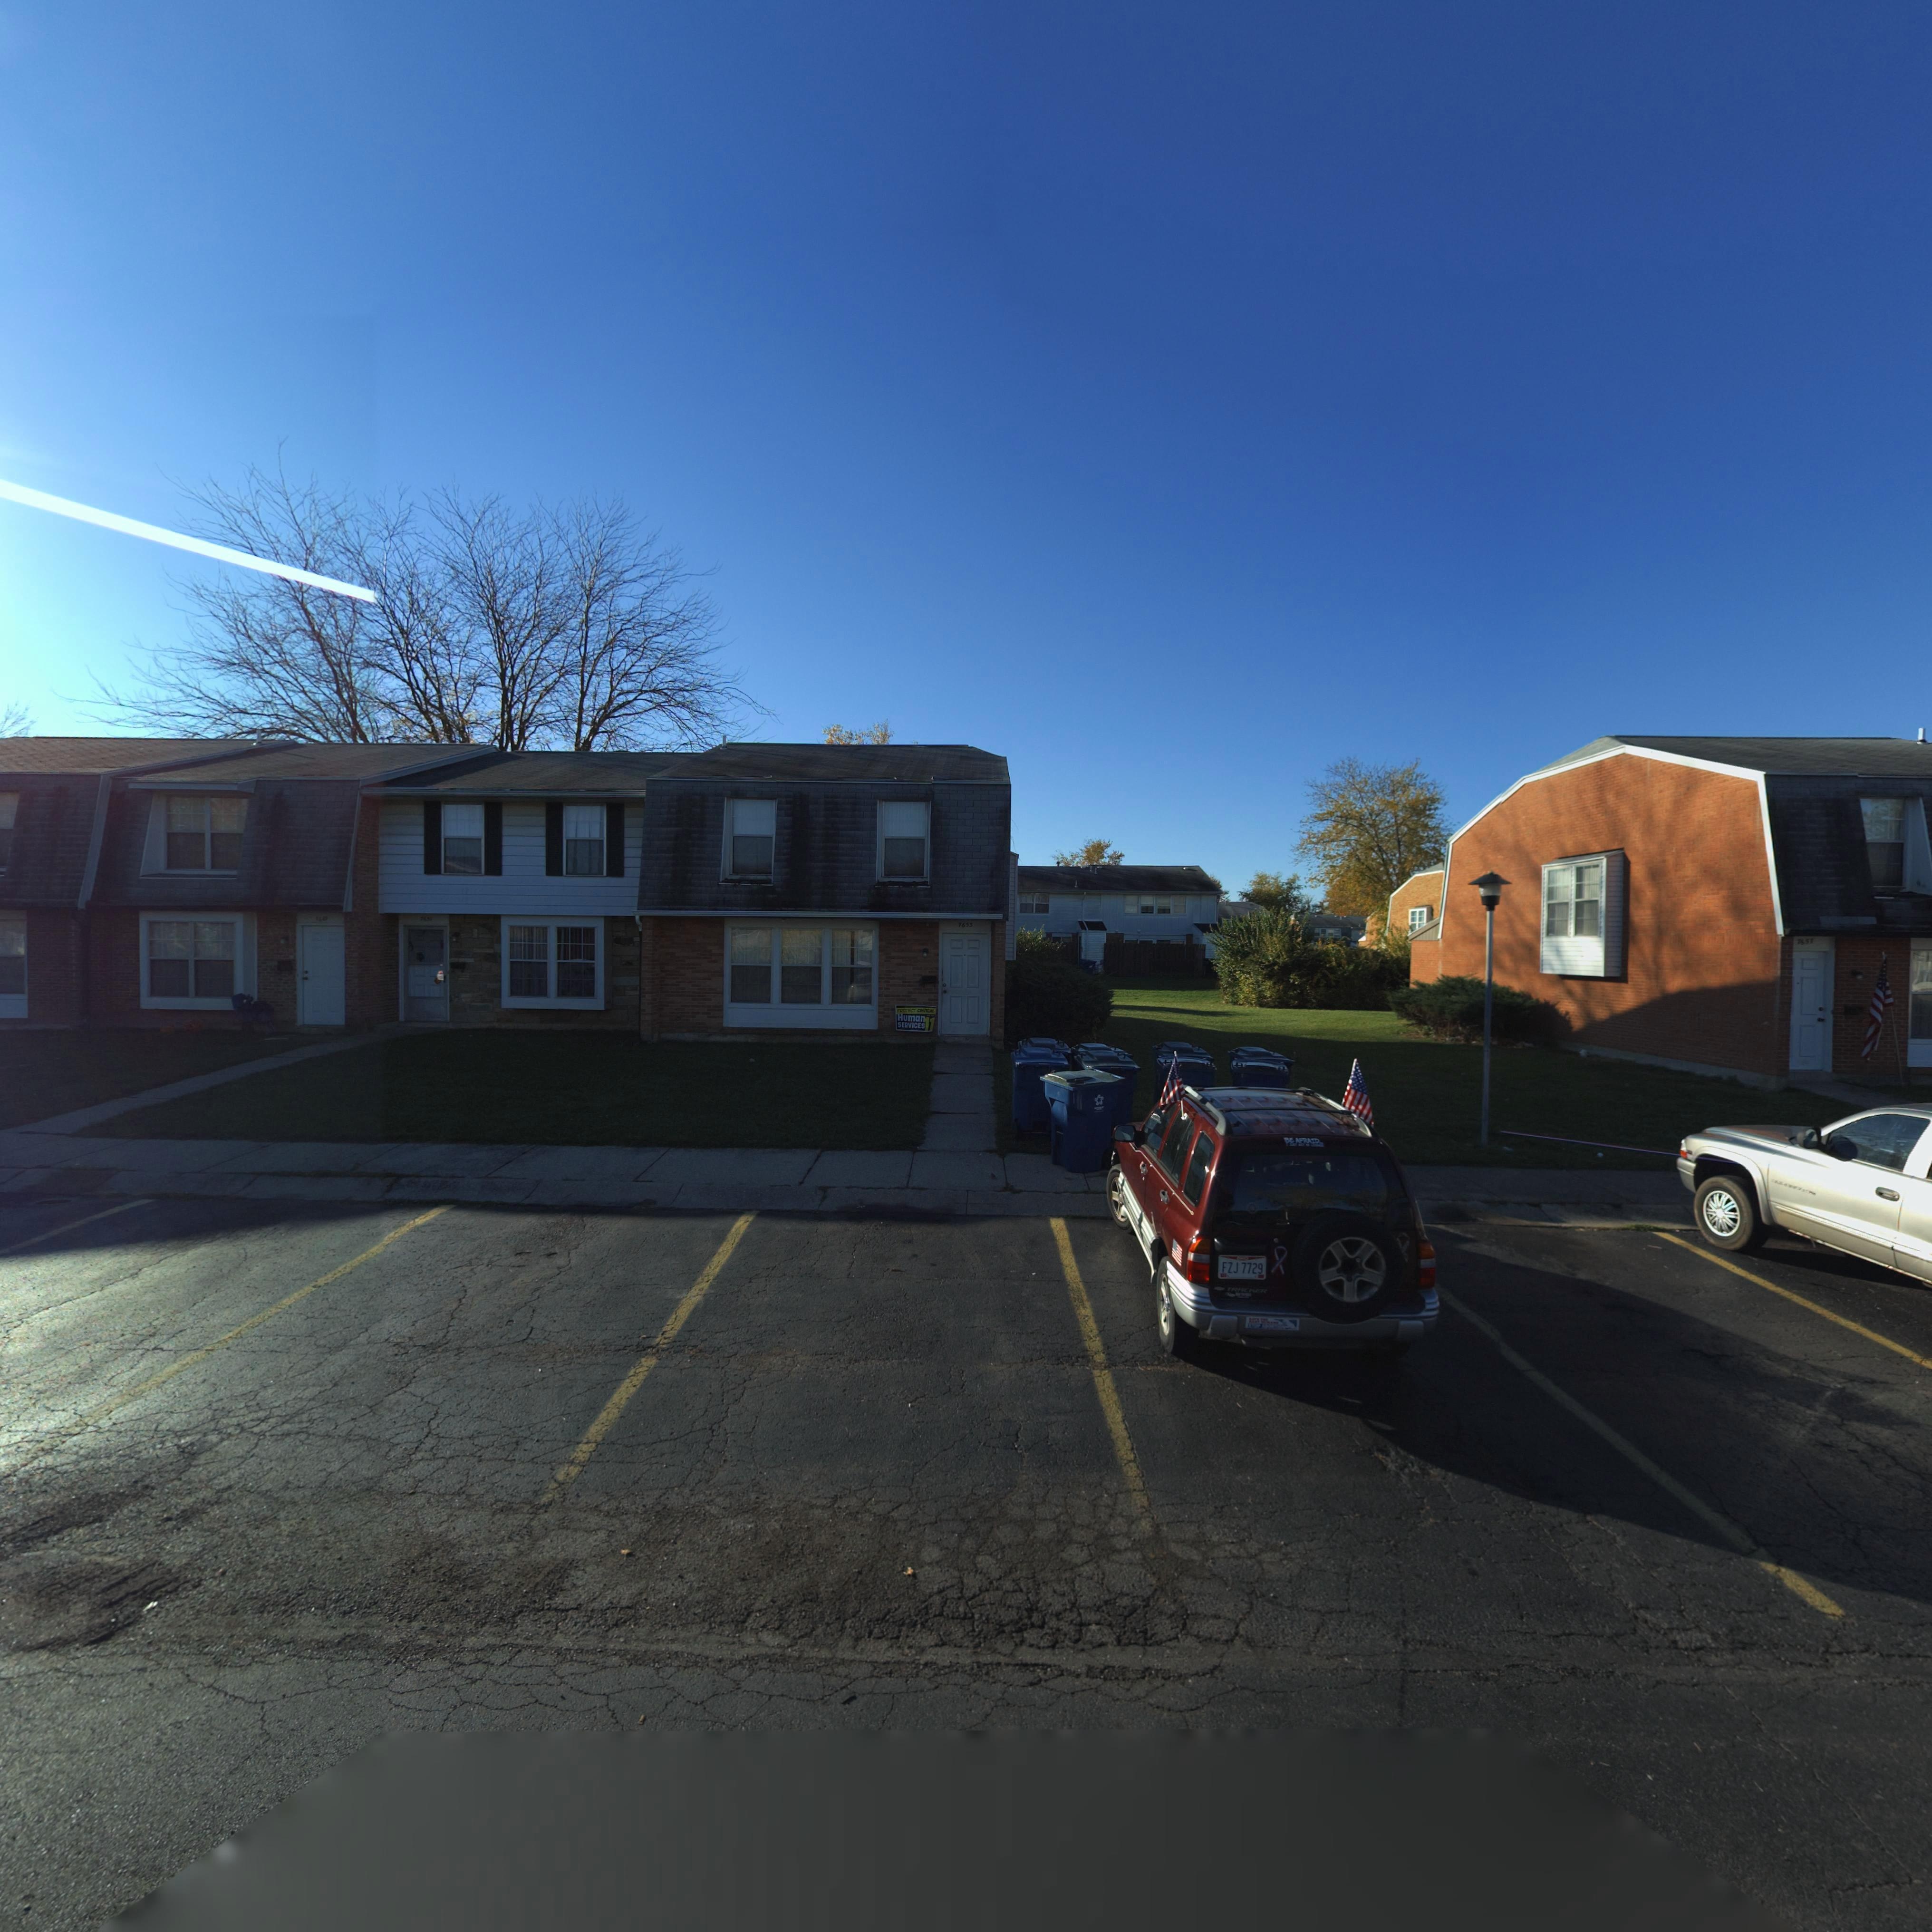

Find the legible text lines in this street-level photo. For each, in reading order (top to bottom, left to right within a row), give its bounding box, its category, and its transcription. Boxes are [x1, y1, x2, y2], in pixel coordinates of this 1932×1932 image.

[314, 916, 328, 922] StreetNumber: 7649
[420, 916, 433, 922] StreetNumber: 7651
[957, 922, 973, 928] StreetNumber: 7653
[1796, 937, 1815, 946] StreetNumber: 7657